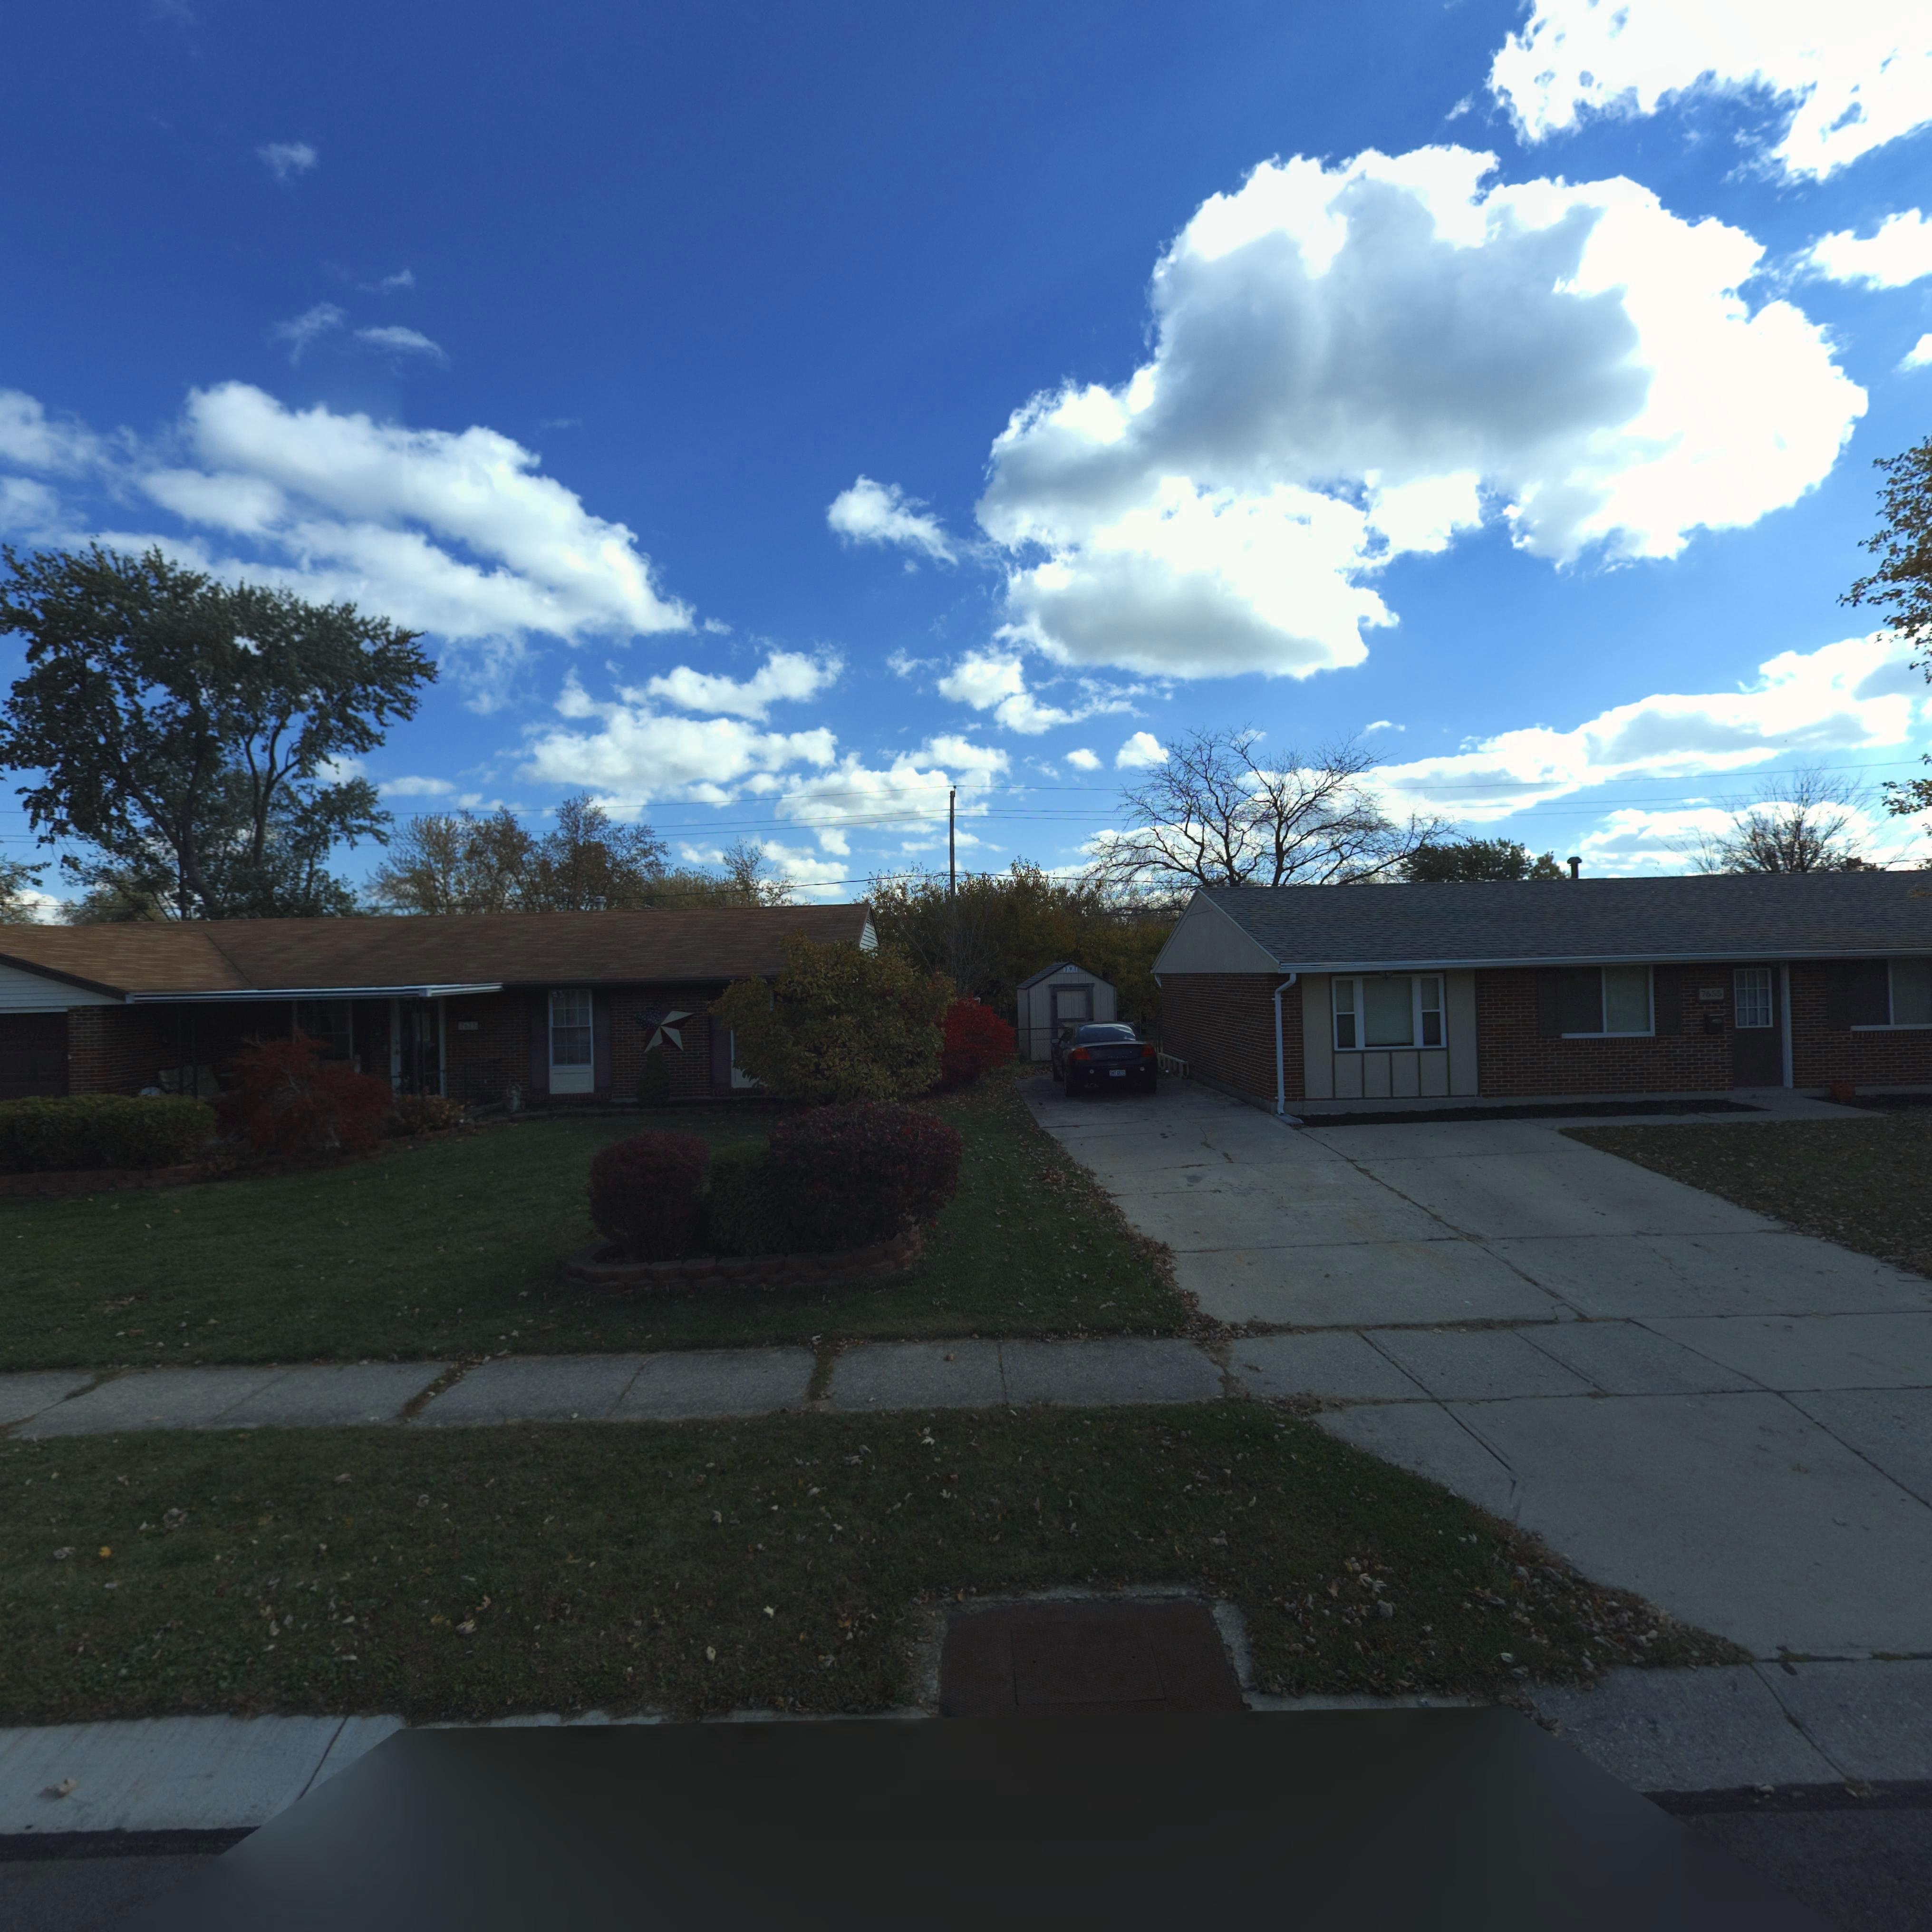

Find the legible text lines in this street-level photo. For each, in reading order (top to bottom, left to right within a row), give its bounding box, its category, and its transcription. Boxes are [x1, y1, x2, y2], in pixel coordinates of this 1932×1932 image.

[1700, 988, 1723, 998] StreetNumber: 7655
[460, 1021, 477, 1030] StreetNumber: 76*3